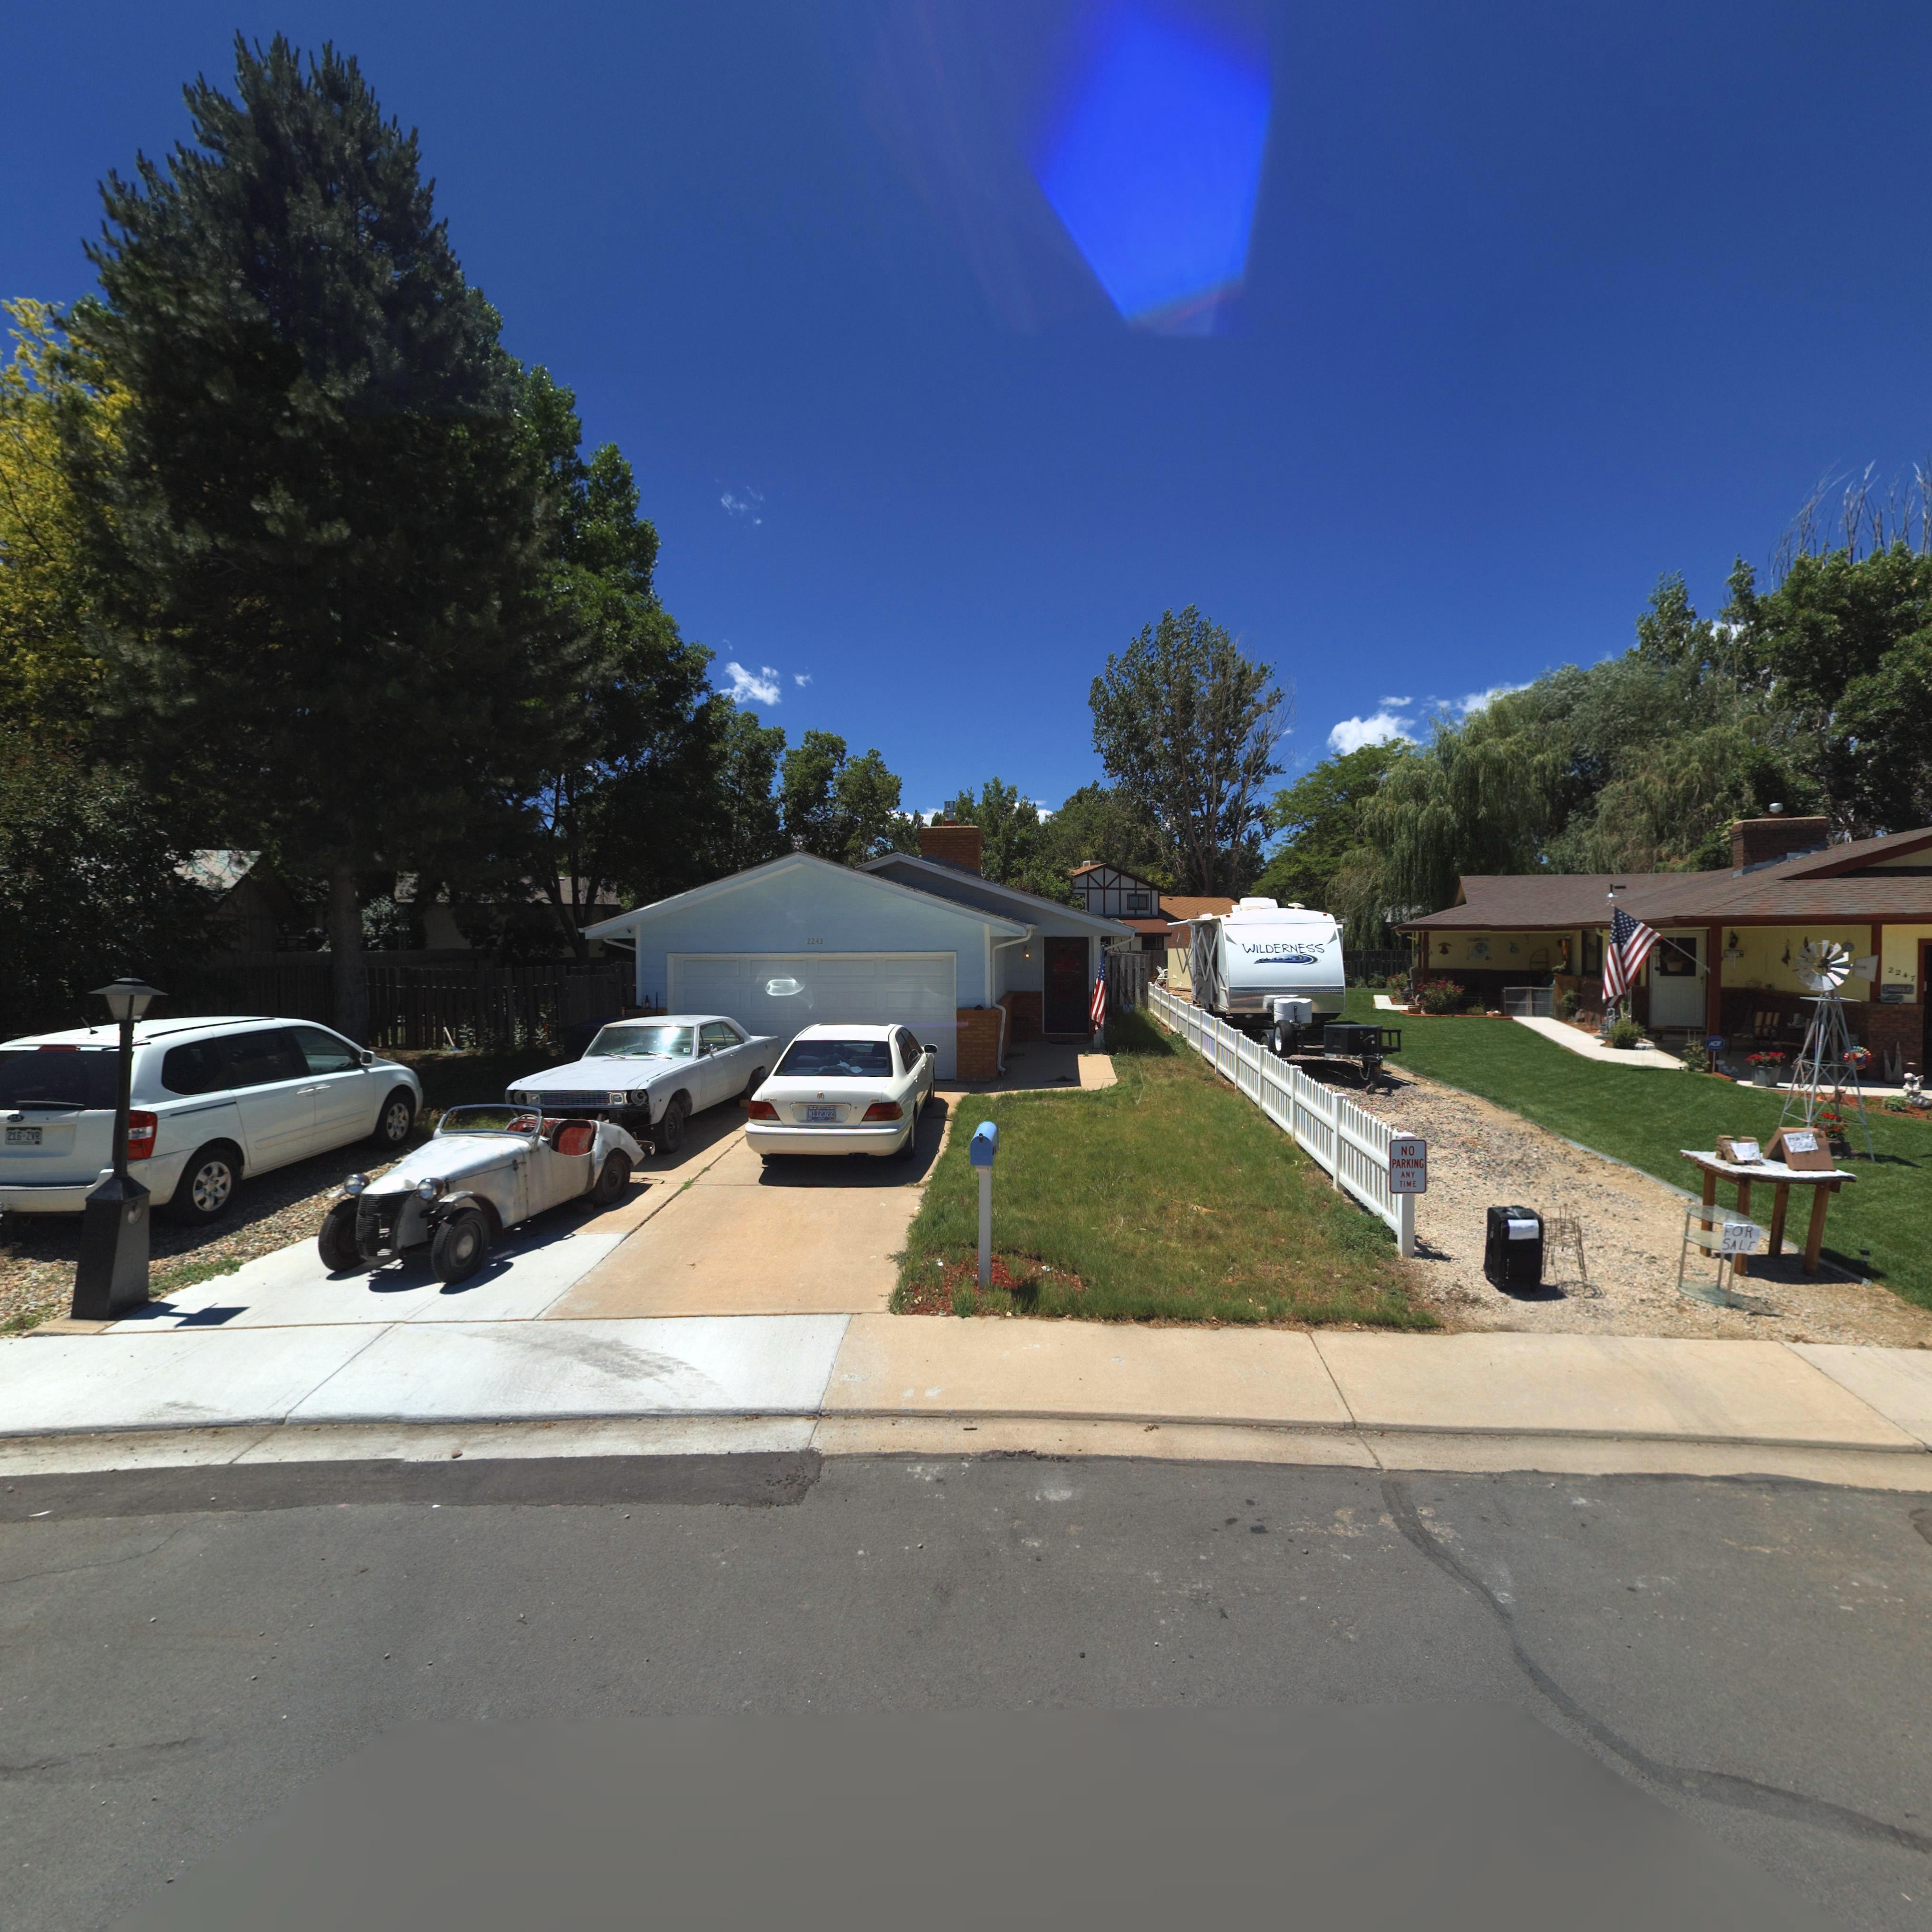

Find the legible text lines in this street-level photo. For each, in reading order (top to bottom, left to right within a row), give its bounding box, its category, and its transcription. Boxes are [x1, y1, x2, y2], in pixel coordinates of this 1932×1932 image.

[807, 937, 823, 945] StreetNumber: 2243
[1887, 966, 1915, 982] StreetNumber: 2247